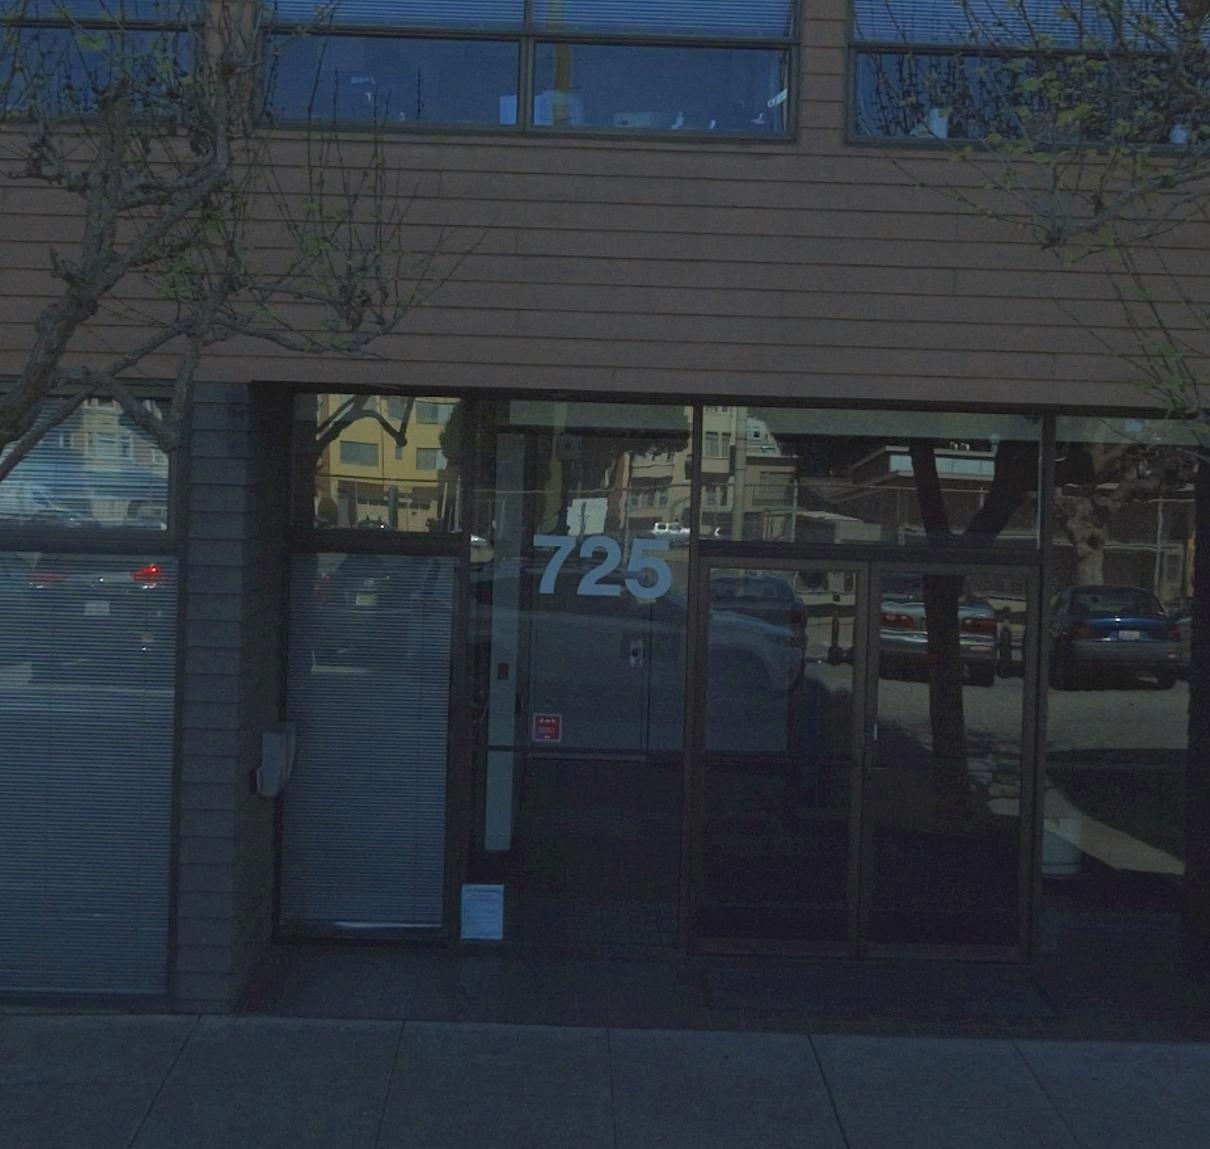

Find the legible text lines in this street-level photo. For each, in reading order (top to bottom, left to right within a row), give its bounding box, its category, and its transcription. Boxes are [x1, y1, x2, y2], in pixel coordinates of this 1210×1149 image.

[531, 532, 675, 601] StreetNumber: 725